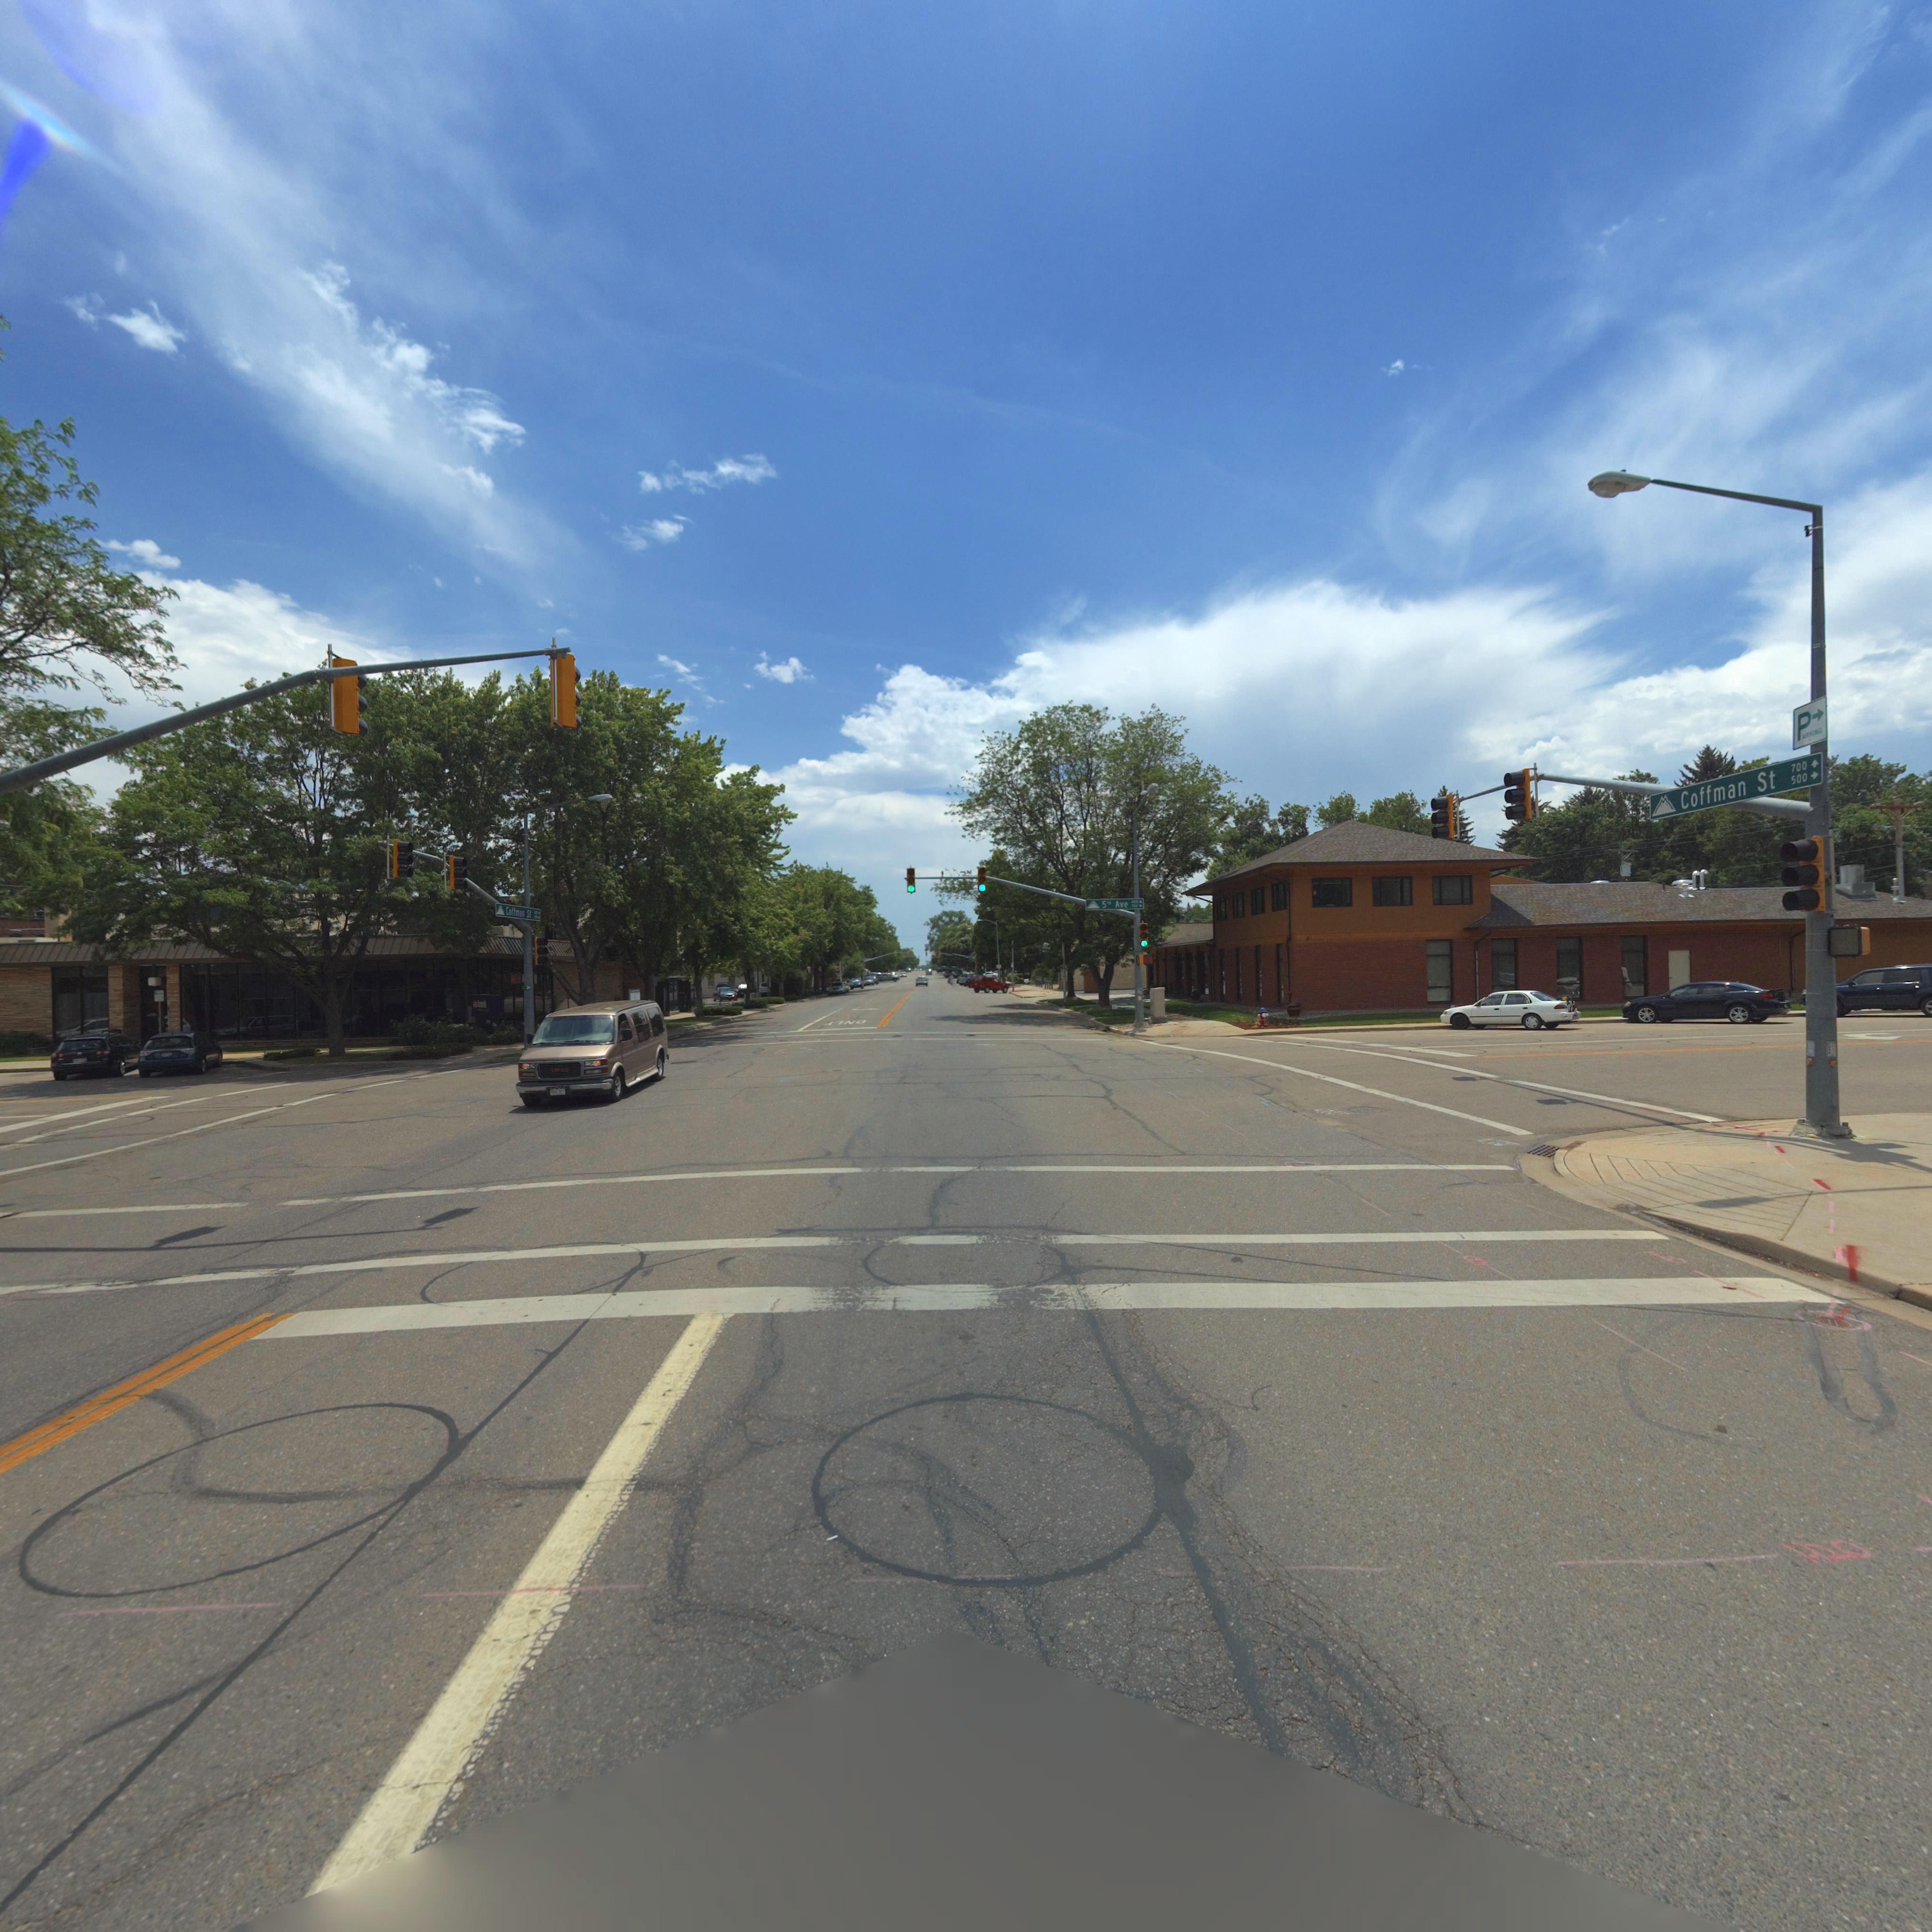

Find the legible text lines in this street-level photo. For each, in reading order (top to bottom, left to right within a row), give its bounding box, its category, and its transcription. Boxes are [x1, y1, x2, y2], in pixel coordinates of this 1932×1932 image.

[1791, 760, 1806, 773] StreetNumberRange: 700
[1790, 770, 1819, 785] StreetNumberRange: 500->
[1680, 769, 1776, 810] StreetName: Coffman St
[1101, 900, 1128, 908] StreetName: 5th Ave
[1131, 904, 1142, 907] StreetNumberRange: *00->
[505, 906, 531, 918] StreetName: Coffman St
[473, 999, 487, 1008] BusinessName: usbank